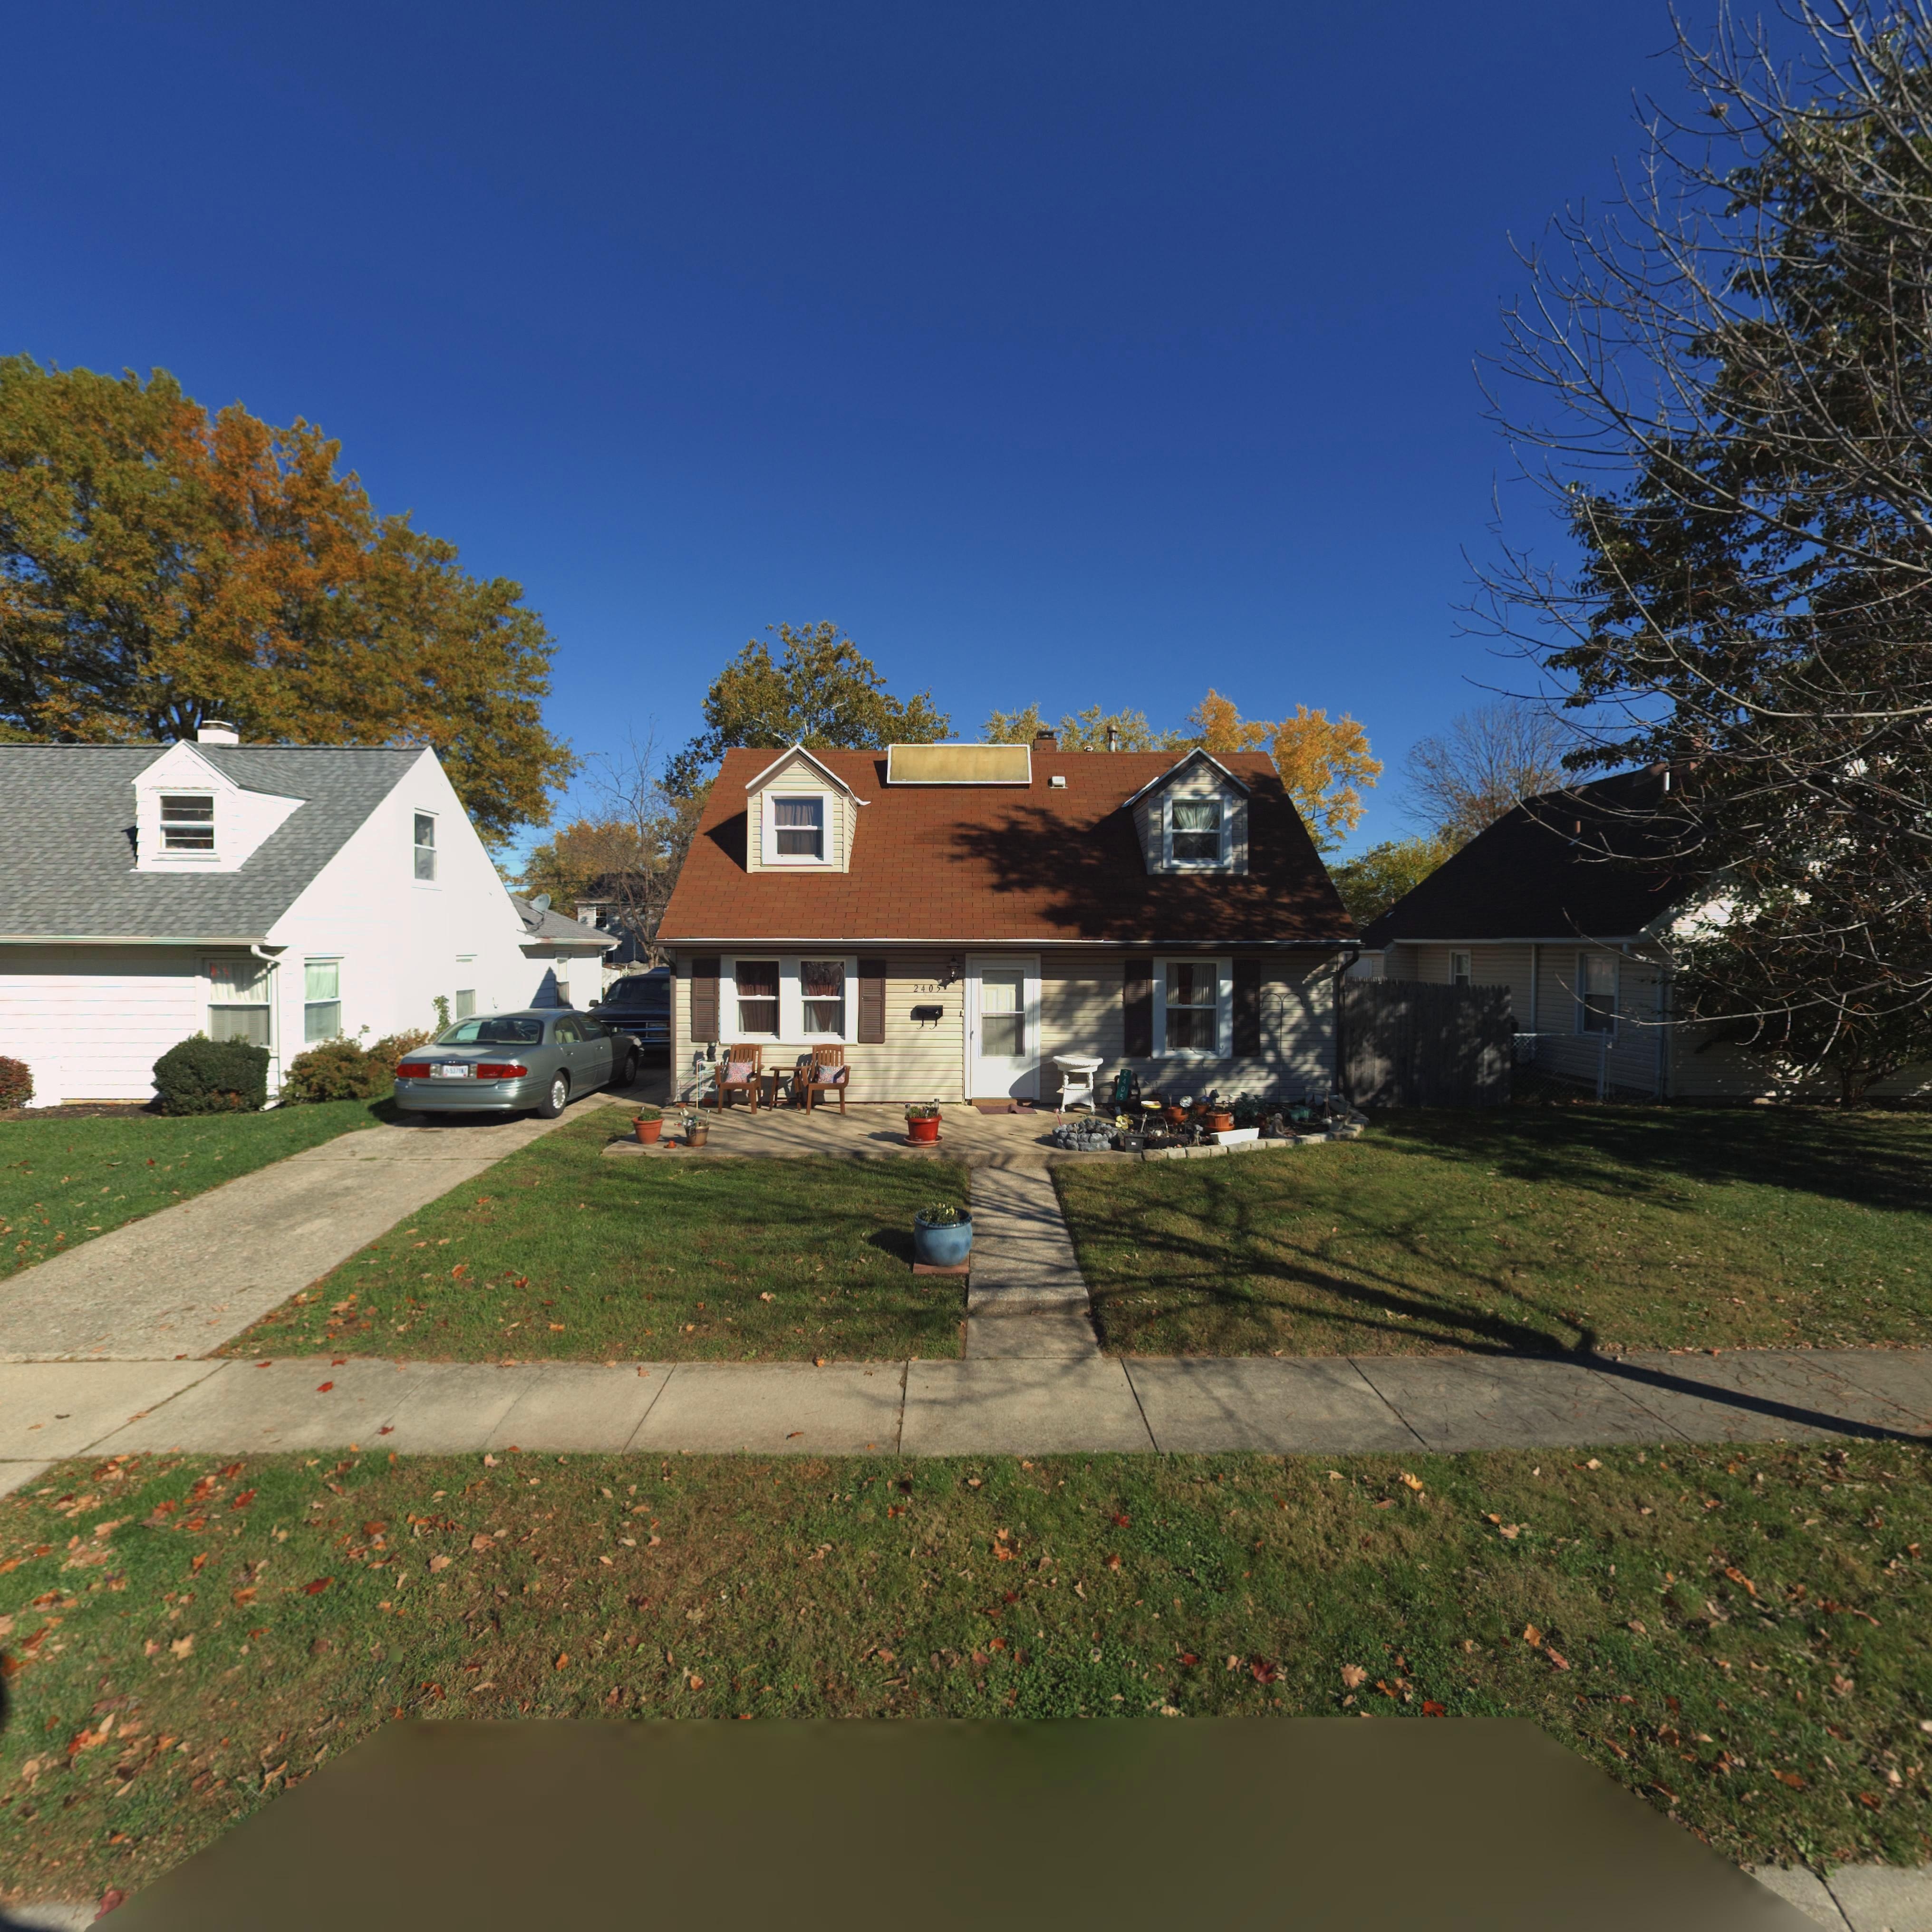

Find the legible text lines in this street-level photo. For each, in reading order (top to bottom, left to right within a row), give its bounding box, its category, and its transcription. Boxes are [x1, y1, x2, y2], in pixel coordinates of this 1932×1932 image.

[912, 984, 942, 994] StreetNumber: 2405
[1119, 1069, 1129, 1101] StreetNumber: 2405